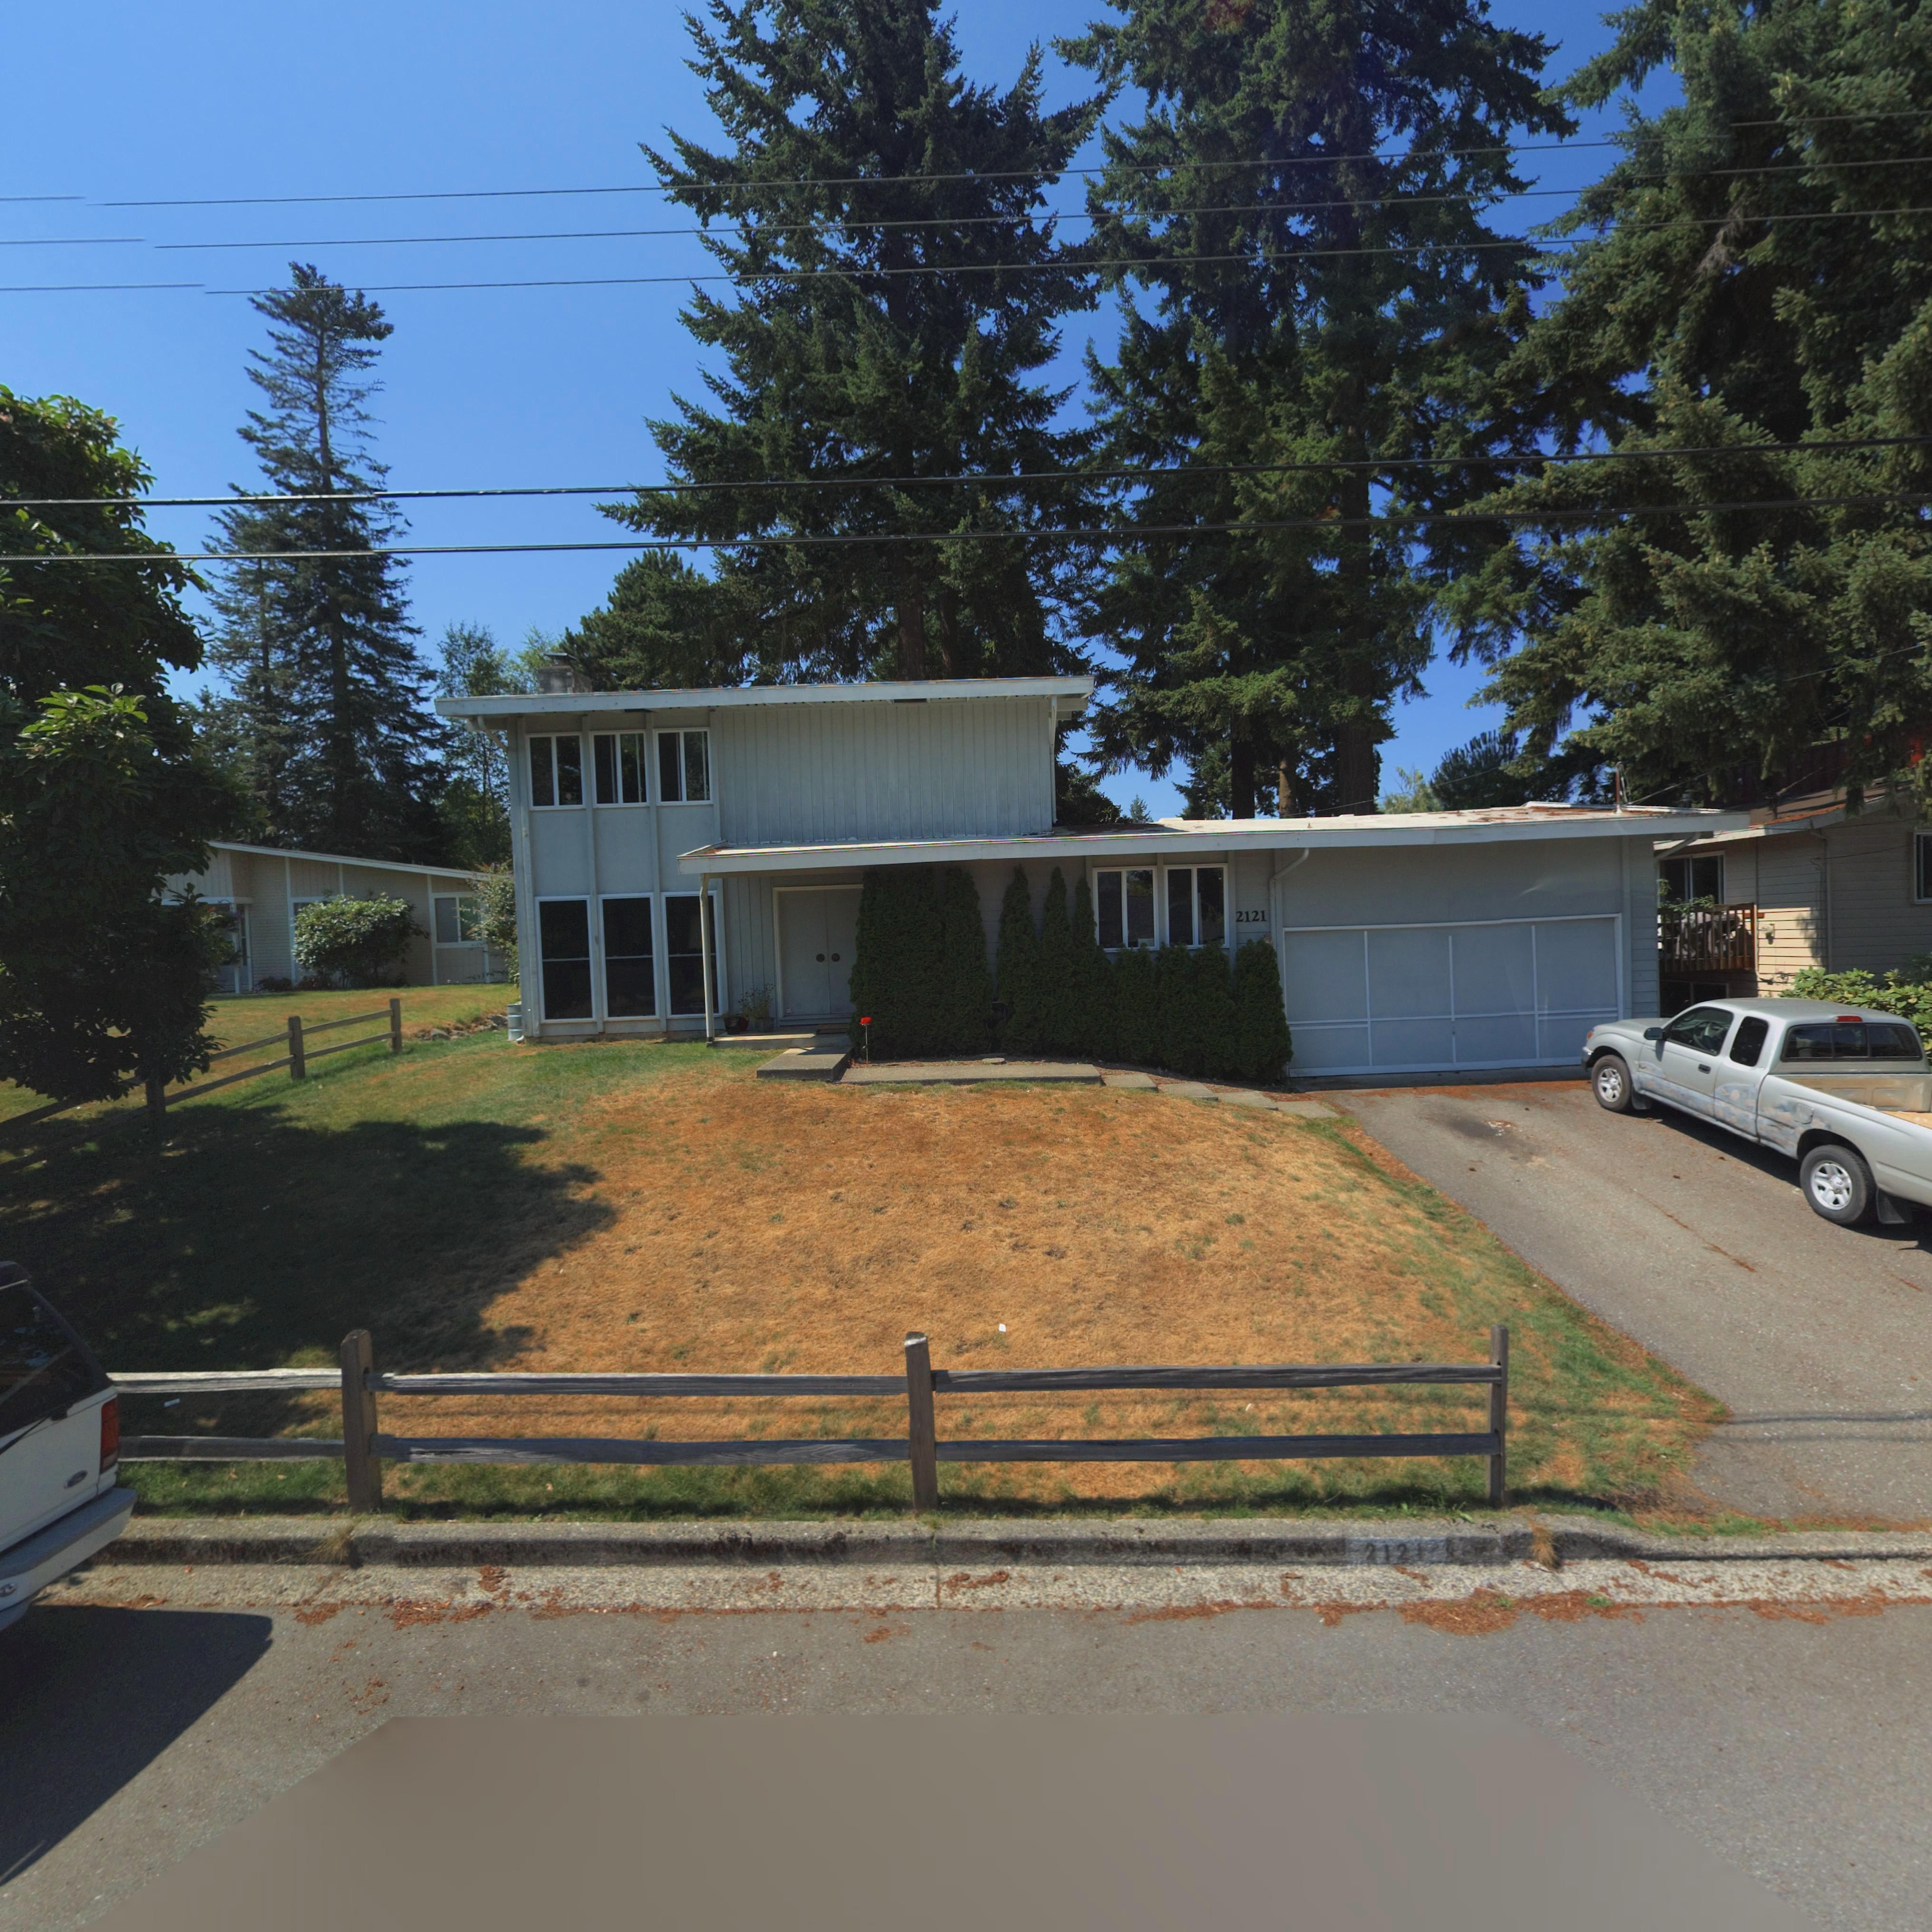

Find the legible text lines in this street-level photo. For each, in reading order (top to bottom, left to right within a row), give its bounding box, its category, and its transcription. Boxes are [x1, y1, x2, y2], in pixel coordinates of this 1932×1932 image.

[1236, 910, 1266, 922] StreetNumber: 2121